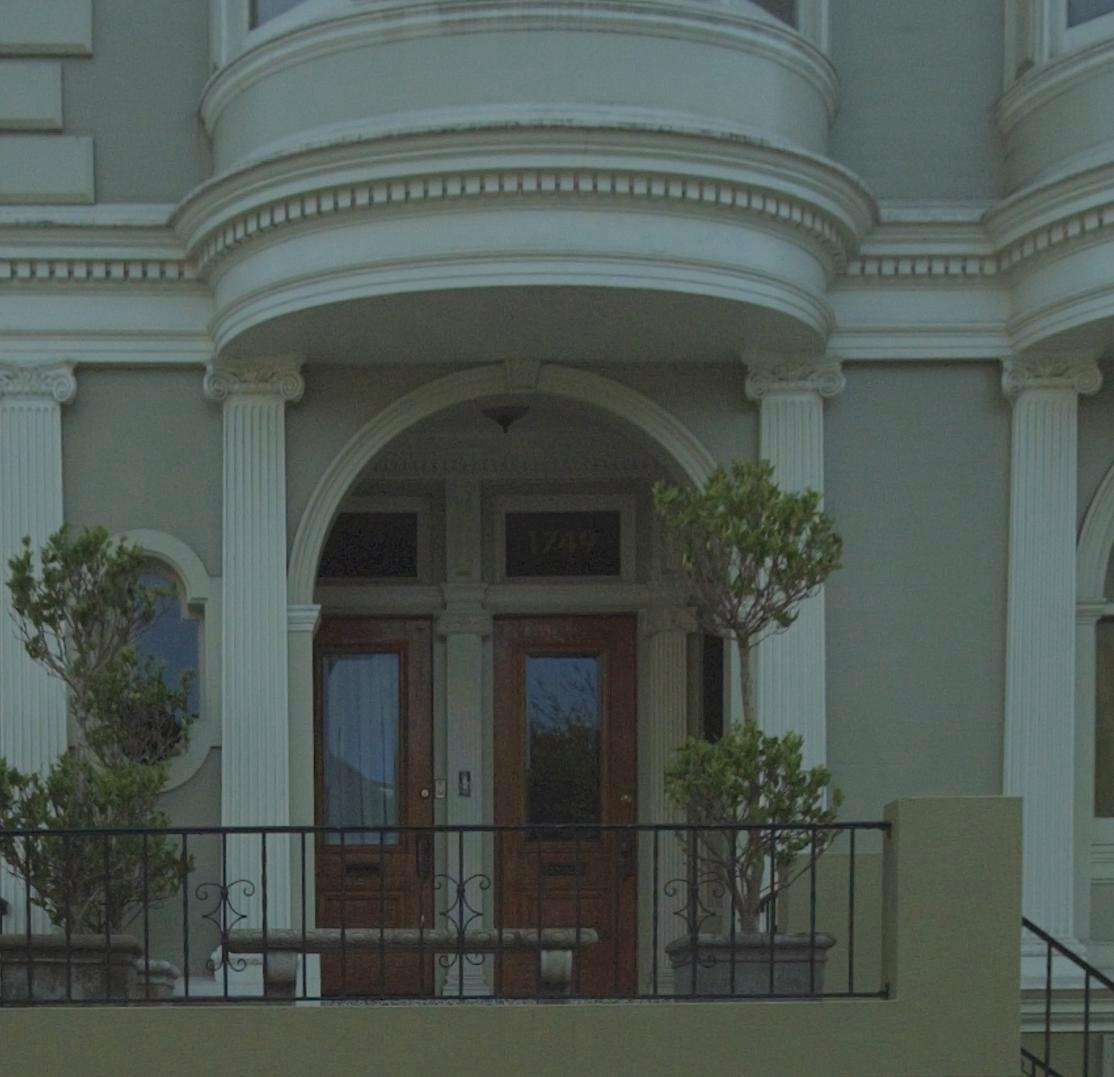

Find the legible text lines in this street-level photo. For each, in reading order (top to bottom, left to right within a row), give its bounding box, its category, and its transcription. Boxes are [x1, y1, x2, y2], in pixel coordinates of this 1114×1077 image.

[525, 525, 600, 556] StreetNumber: 1749